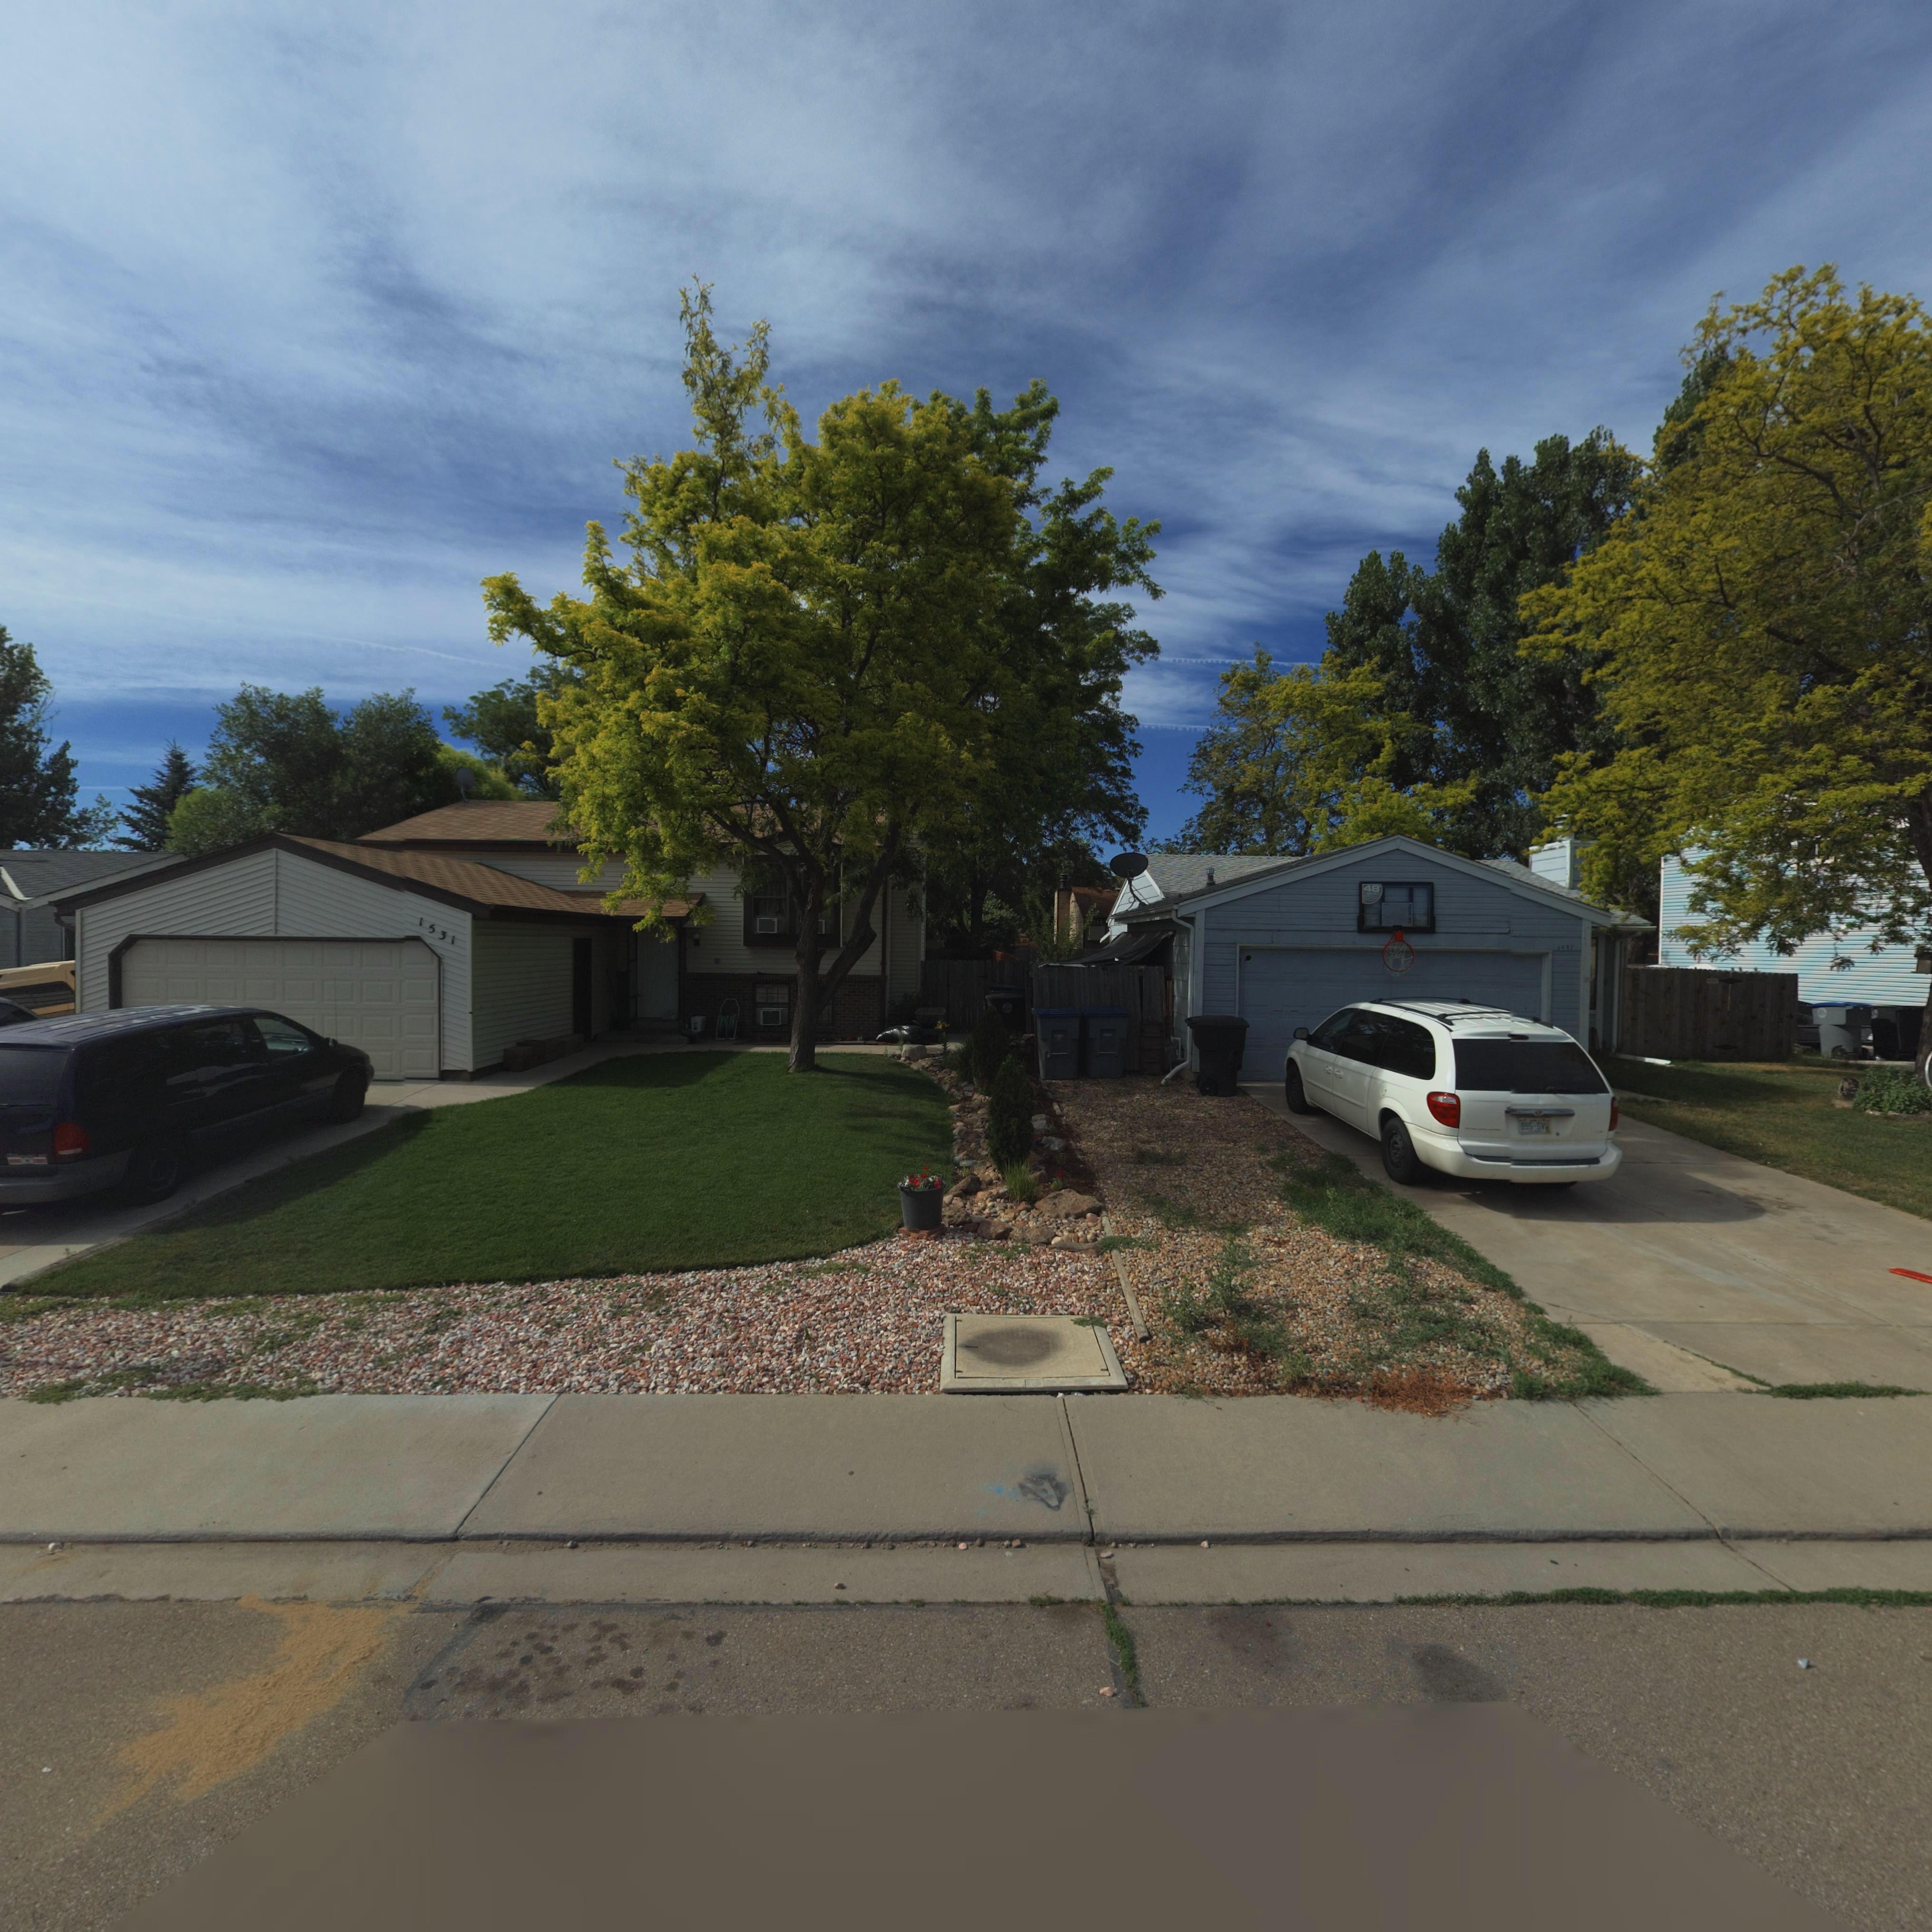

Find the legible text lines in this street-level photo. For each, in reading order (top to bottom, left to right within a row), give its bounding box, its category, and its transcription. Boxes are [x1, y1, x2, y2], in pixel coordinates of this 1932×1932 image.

[418, 915, 455, 944] StreetNumber: 1531
[1556, 944, 1575, 951] StreetNumber: 1***